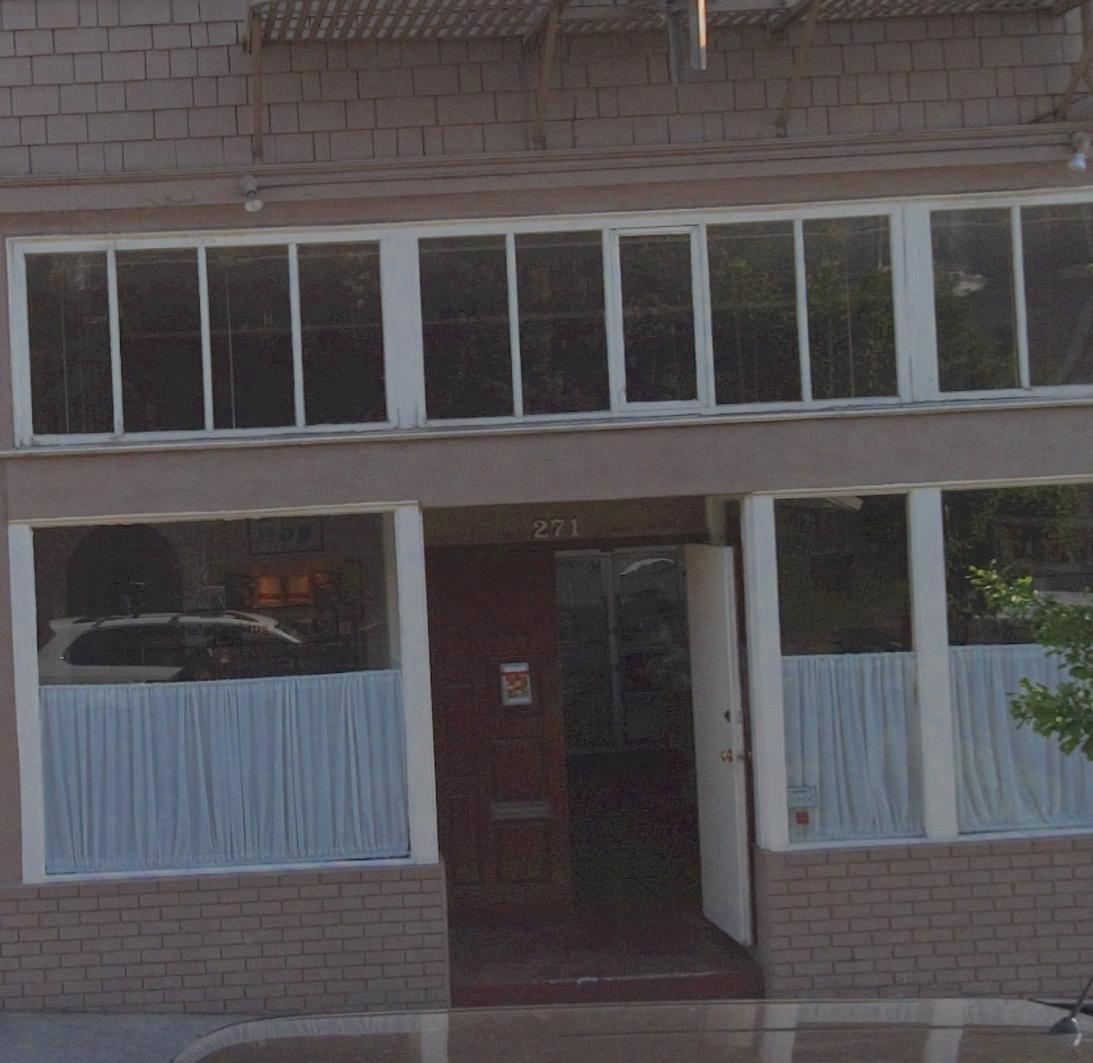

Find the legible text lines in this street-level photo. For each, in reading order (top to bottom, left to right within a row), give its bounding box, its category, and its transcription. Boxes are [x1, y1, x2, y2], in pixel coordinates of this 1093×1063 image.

[528, 514, 582, 540] StreetNumber: 271